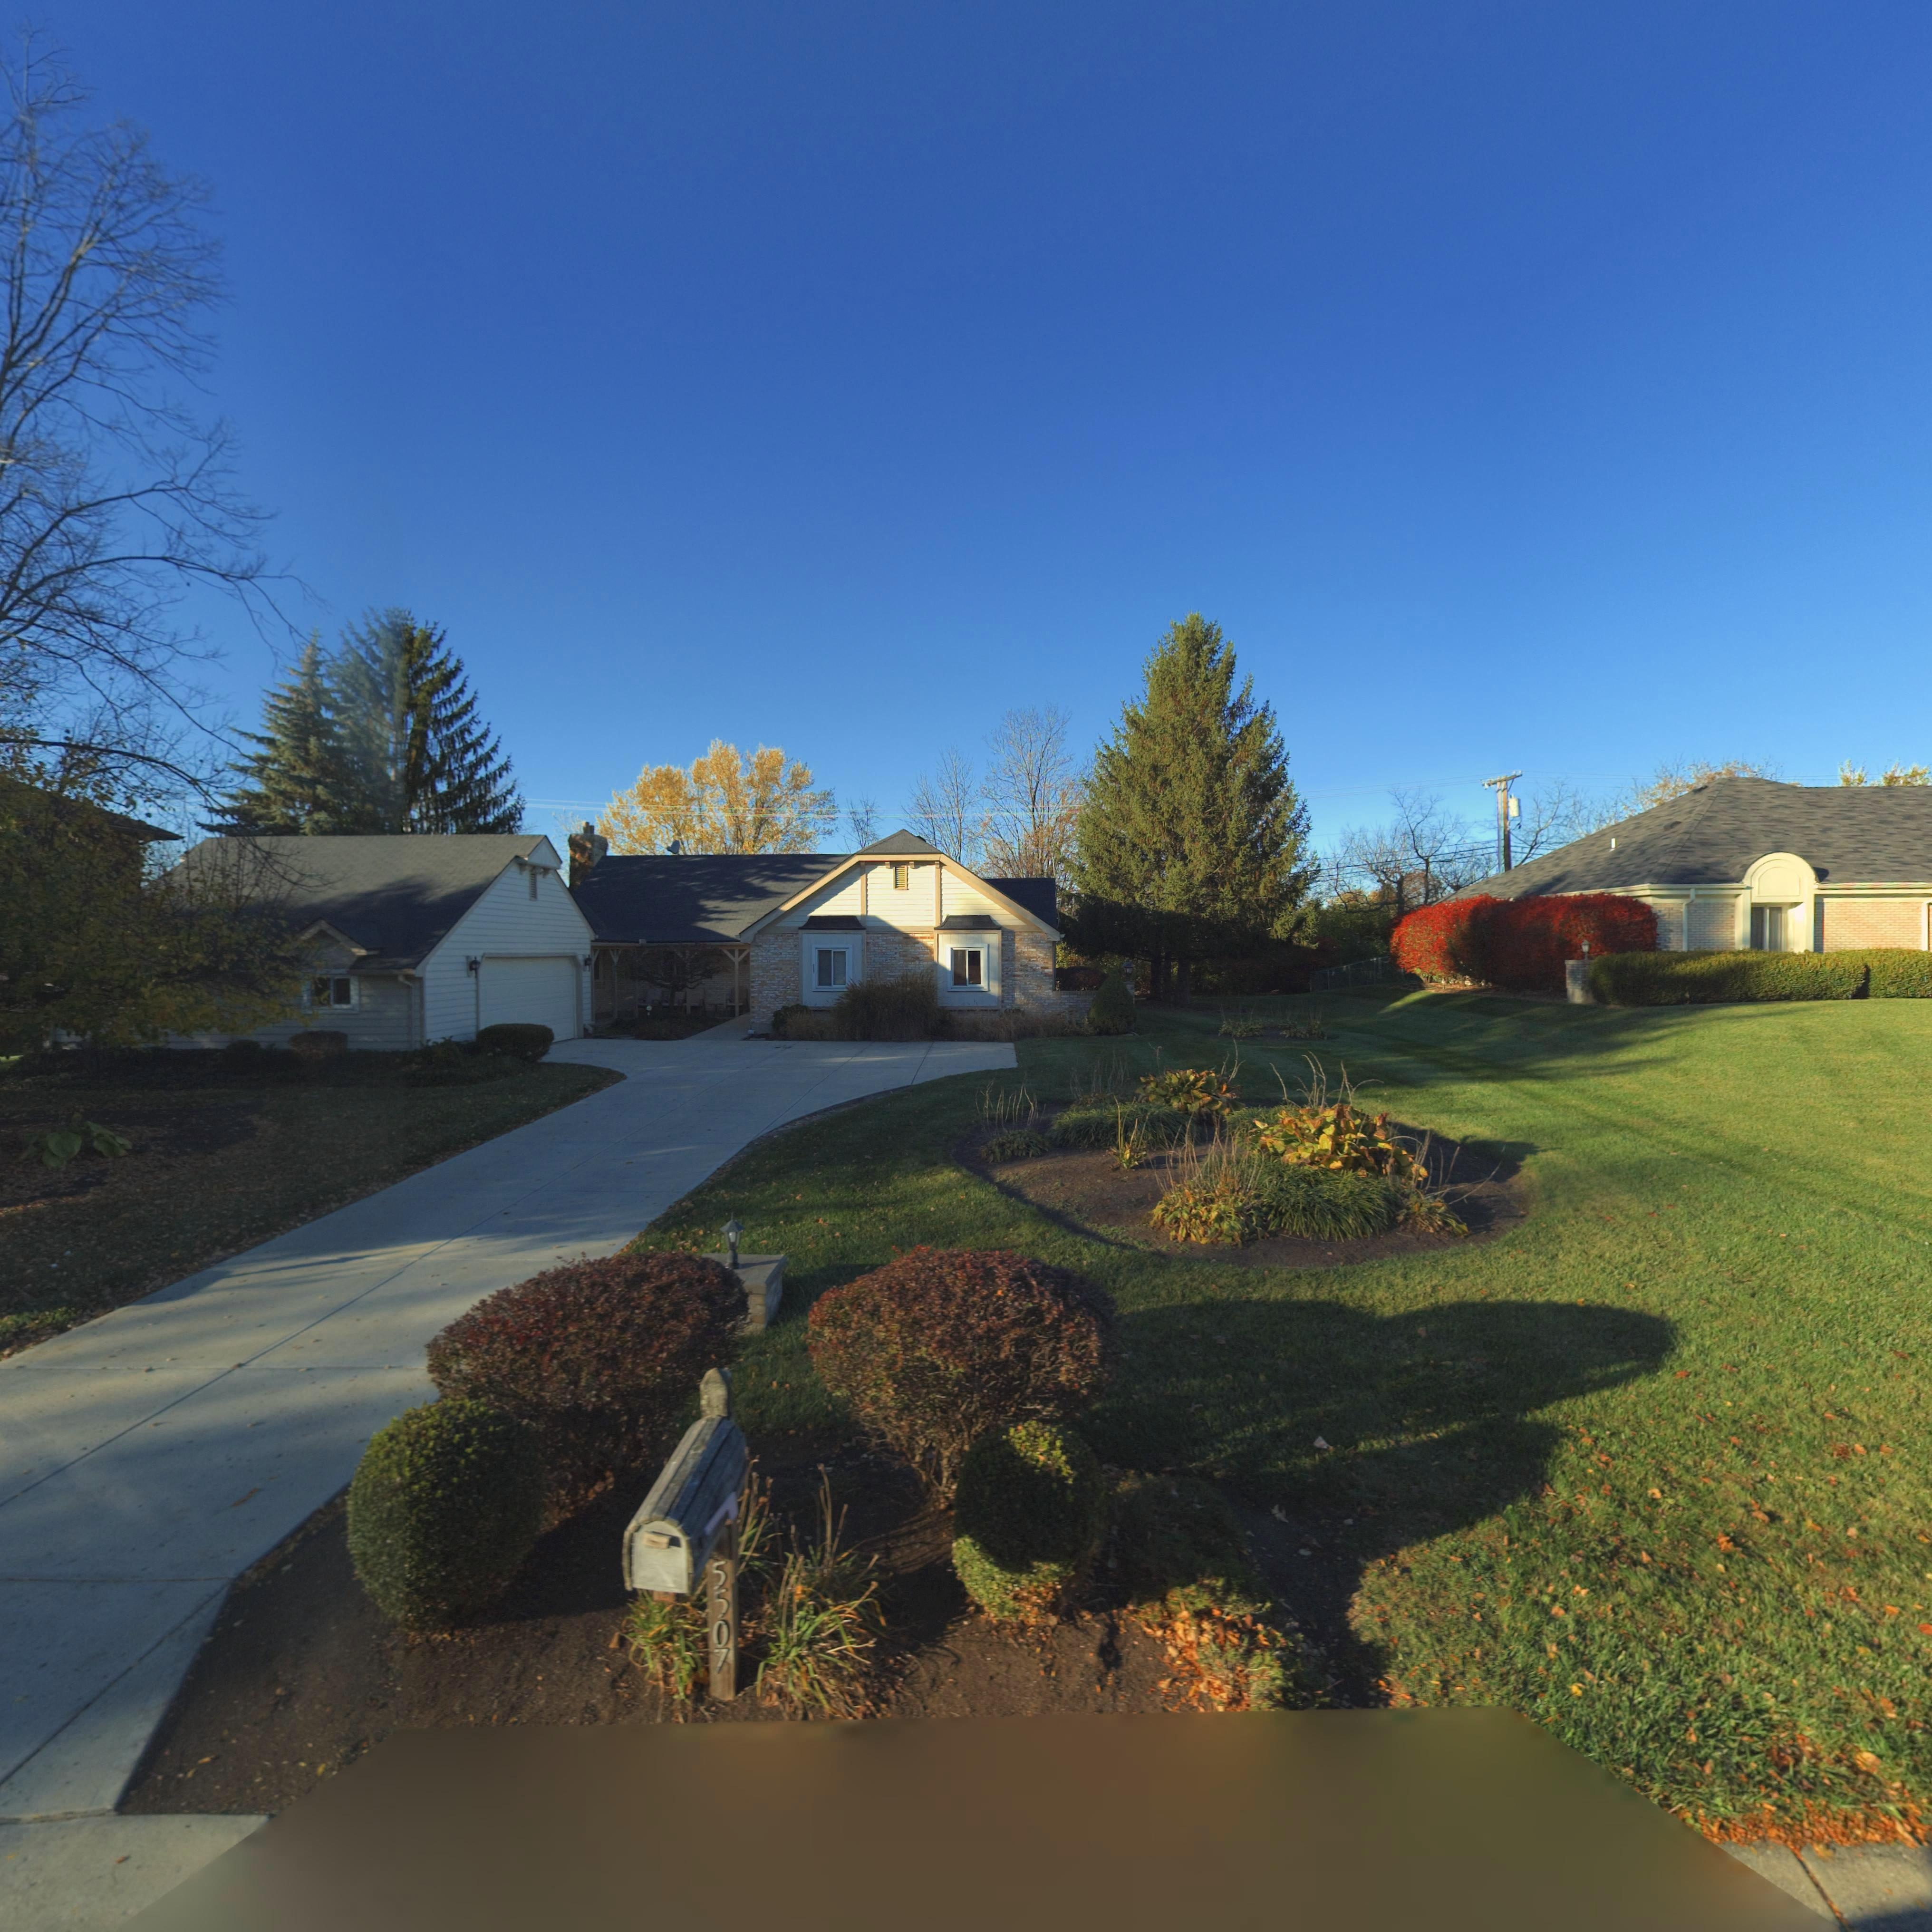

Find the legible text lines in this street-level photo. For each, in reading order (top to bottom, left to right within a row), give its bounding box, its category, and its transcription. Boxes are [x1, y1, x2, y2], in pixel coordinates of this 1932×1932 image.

[710, 1557, 733, 1678] StreetNumber: 5507